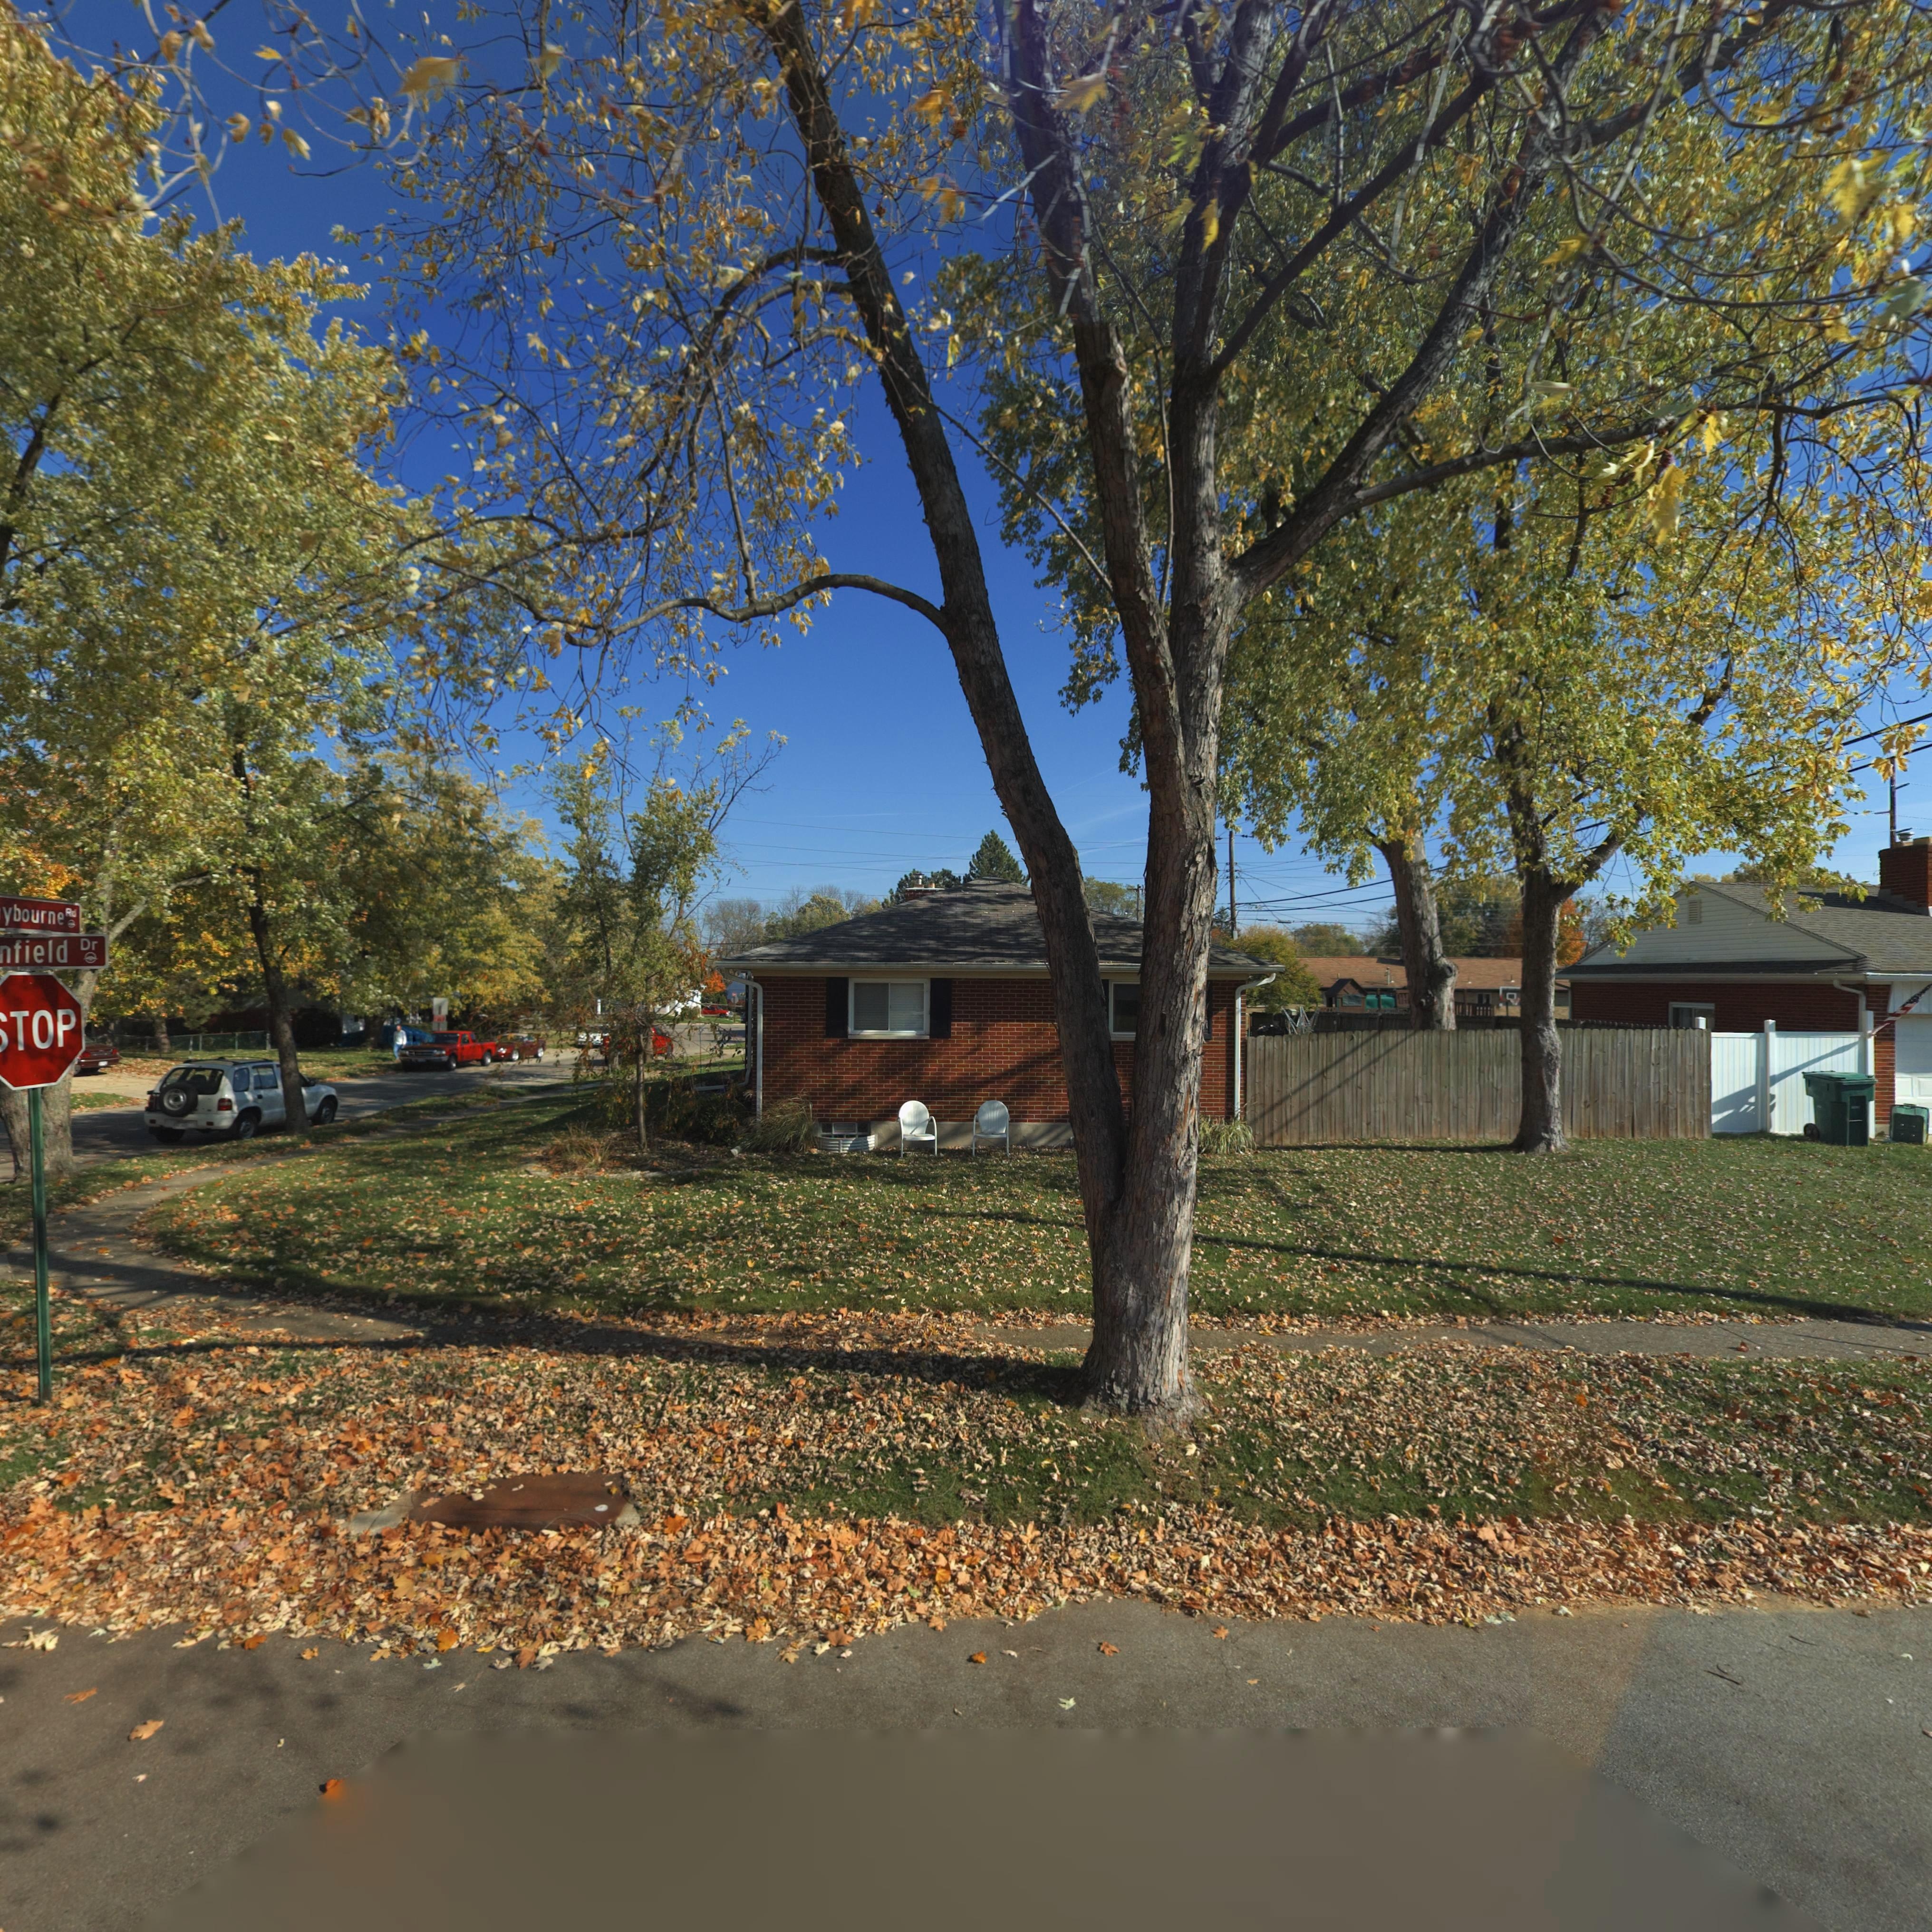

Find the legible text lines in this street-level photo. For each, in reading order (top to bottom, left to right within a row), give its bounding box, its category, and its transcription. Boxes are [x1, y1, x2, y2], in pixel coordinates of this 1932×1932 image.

[1, 903, 77, 927] StreetName: ybourne Rd
[13, 937, 100, 965] StreetName: field Dr